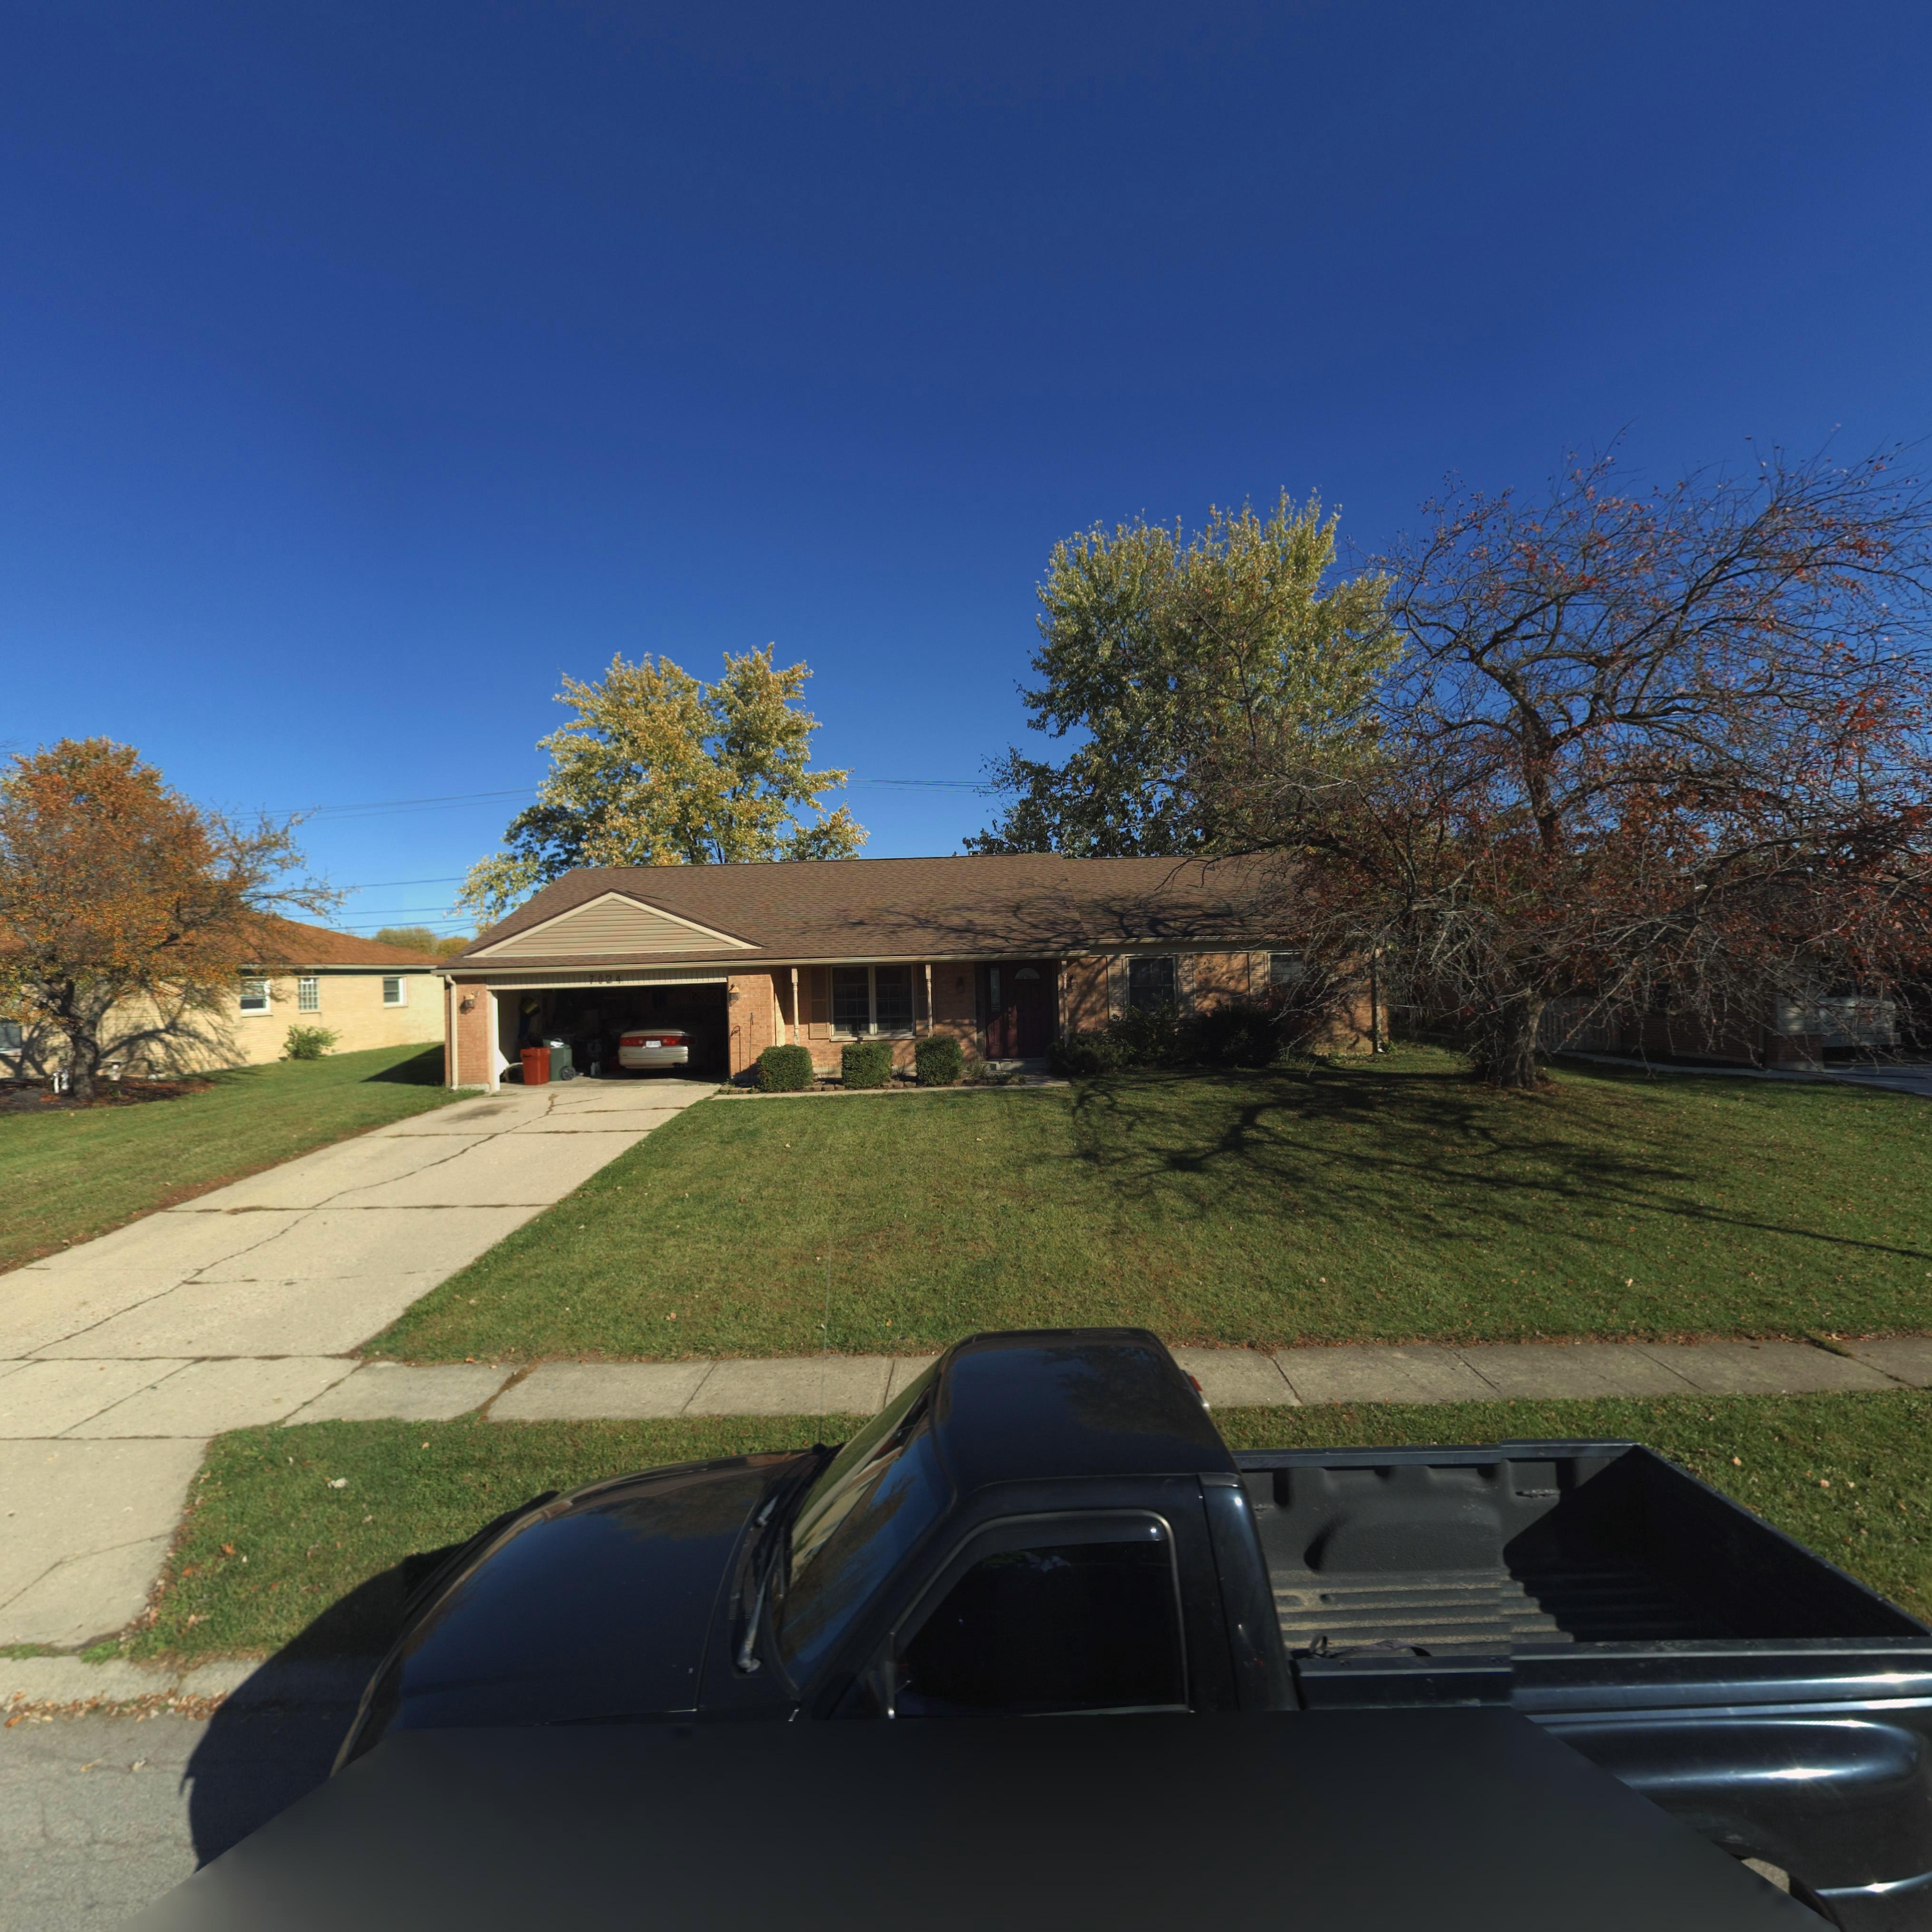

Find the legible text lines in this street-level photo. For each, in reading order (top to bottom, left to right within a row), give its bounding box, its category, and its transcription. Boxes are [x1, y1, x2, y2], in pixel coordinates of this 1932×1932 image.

[588, 975, 621, 985] StreetNumber: 7024